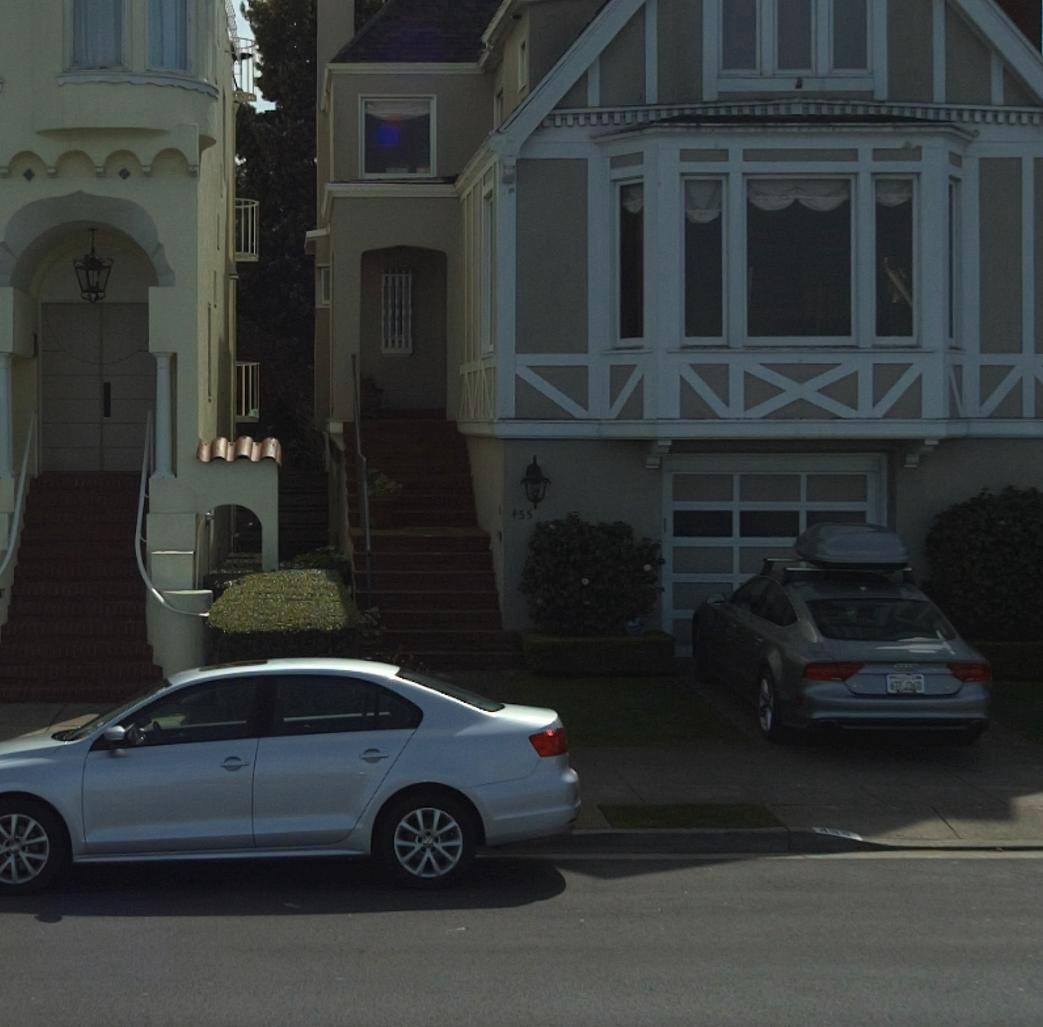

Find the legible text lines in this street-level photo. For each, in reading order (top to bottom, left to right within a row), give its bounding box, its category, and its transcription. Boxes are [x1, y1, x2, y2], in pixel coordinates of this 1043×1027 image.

[508, 507, 535, 522] StreetNumber: 455